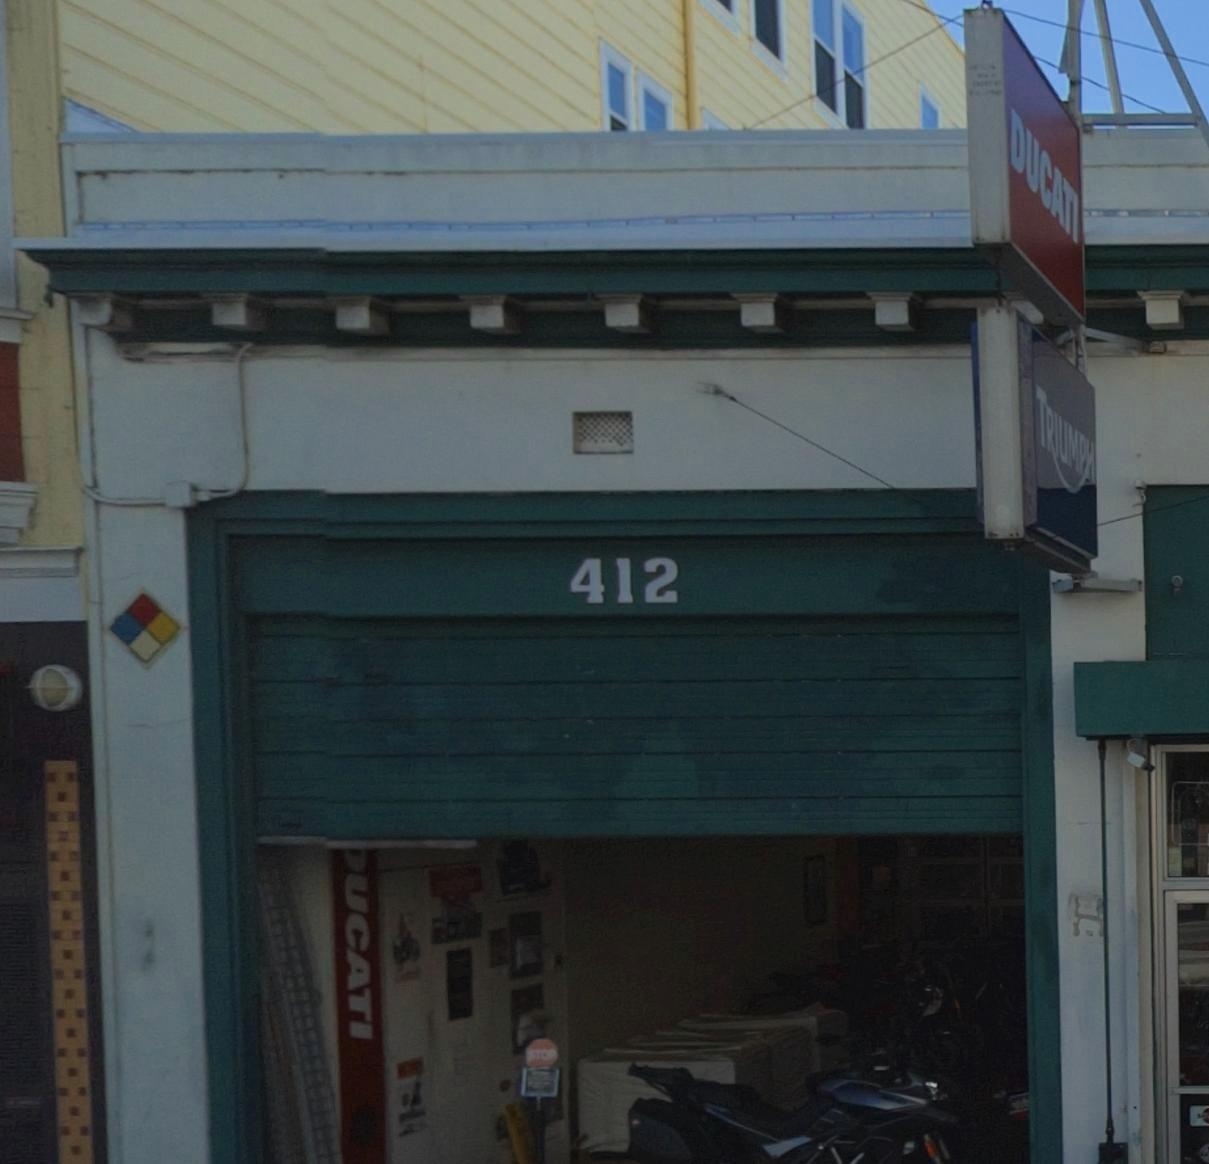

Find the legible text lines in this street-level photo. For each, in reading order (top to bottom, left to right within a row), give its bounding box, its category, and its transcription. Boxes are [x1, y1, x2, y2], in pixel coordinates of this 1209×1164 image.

[1009, 102, 1080, 248] None: DUCATI
[1034, 382, 1098, 489] None: TRIUMPH
[569, 555, 681, 605] StreetNumber: 412
[342, 869, 375, 1042] None: UCATI
[527, 1048, 558, 1062] None: STOP